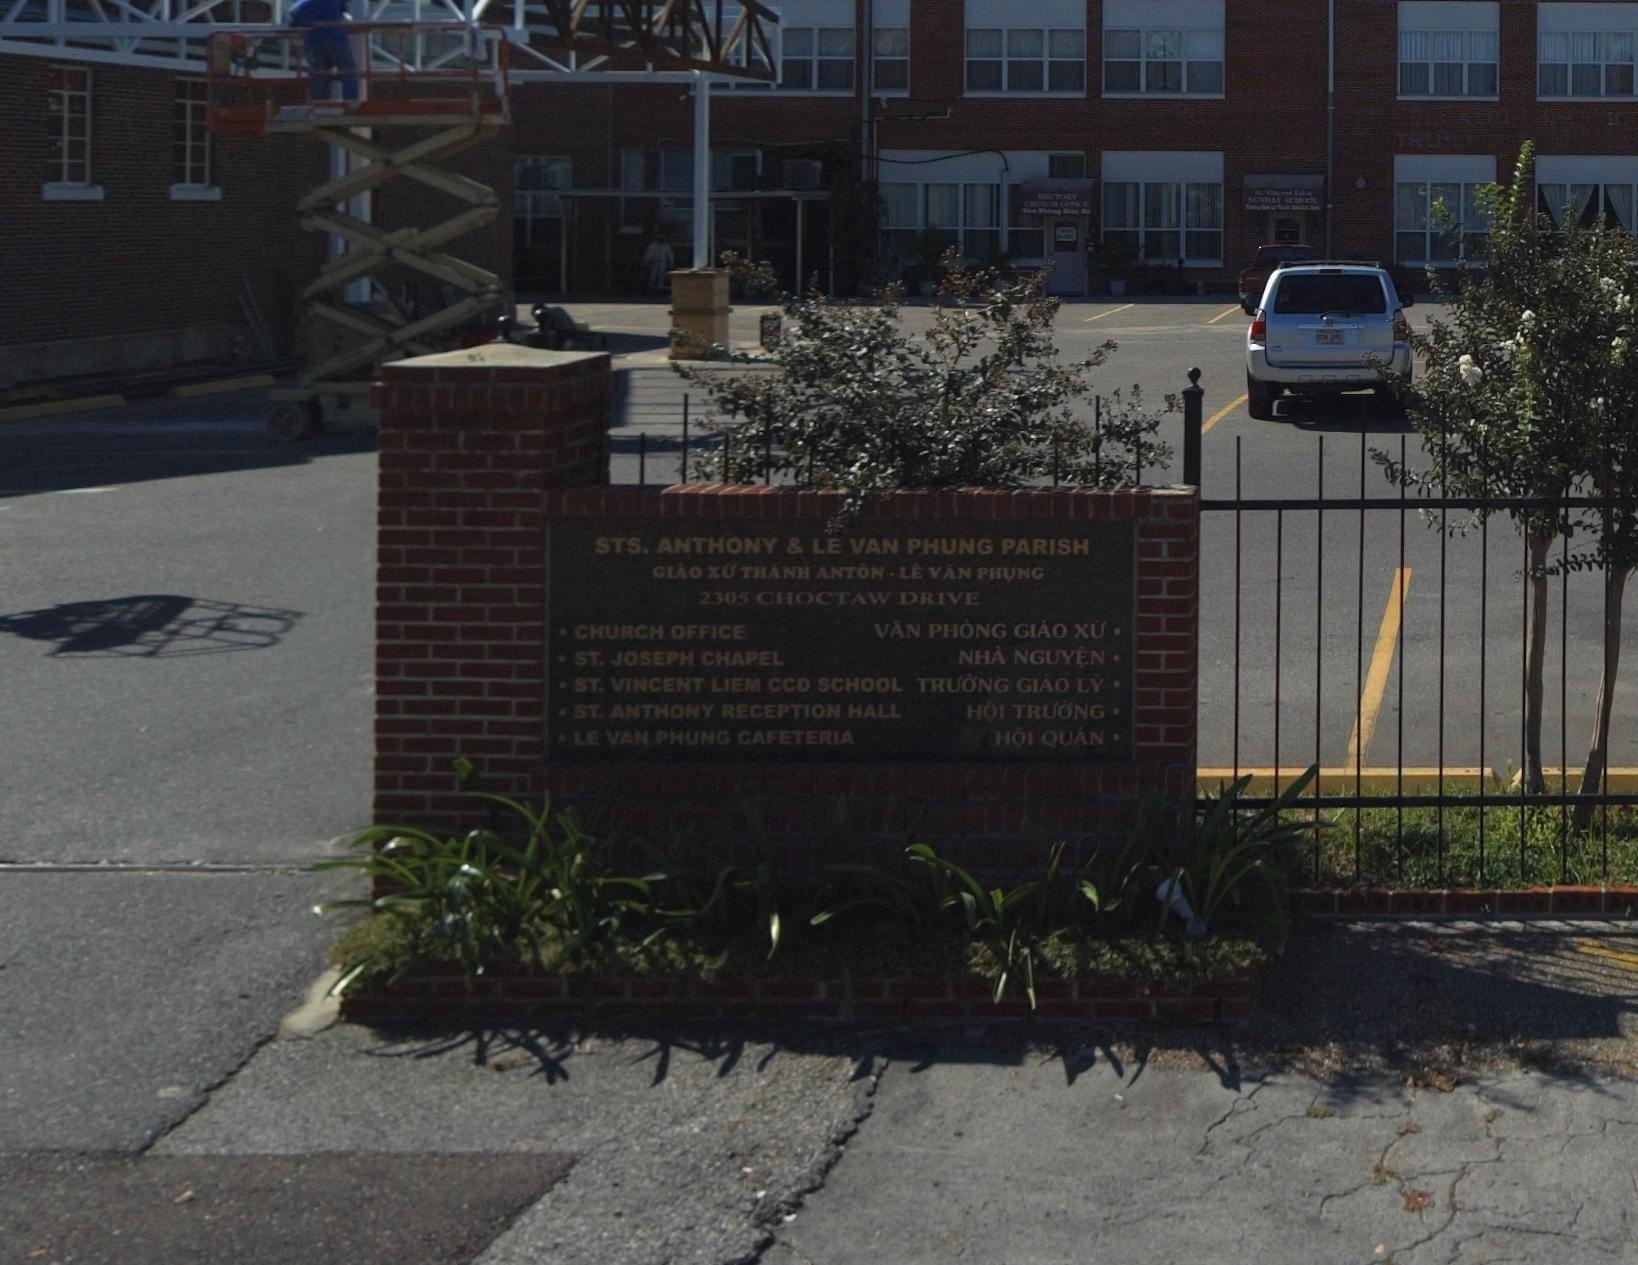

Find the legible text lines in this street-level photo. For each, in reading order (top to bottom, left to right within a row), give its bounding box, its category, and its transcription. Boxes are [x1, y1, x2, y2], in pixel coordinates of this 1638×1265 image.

[589, 534, 1093, 559] BusinessName: STS. ANTHONY & LE VAN PHUNG PARISH
[648, 563, 1049, 584] None: GIAO XU THANH ANTON * LE VAN PHUNG
[695, 589, 752, 608] StreetNumber: 2305
[754, 588, 984, 608] StreetName: CHOCTAW DRIVE
[571, 620, 748, 643] None: CHURCH OFFICE
[867, 621, 1107, 641] None: VAN PHUNG GIAO XU
[572, 647, 788, 669] None: ST. JOSEPH CHAPEL
[957, 647, 1108, 667] None: NHA NGUYEN
[572, 675, 907, 695] None: ST.VINCENT LIEM CCD SCHOOL
[914, 676, 1108, 697] None: TRUONG GIAO LY
[570, 700, 905, 722] None: ST. ANTHONY RECEPTION HALL
[964, 701, 1107, 723] None: HOI THUONG
[571, 726, 860, 749] None: LE VAN PHUNG CAFETERIA
[993, 728, 1107, 749] None: HOI QUAN